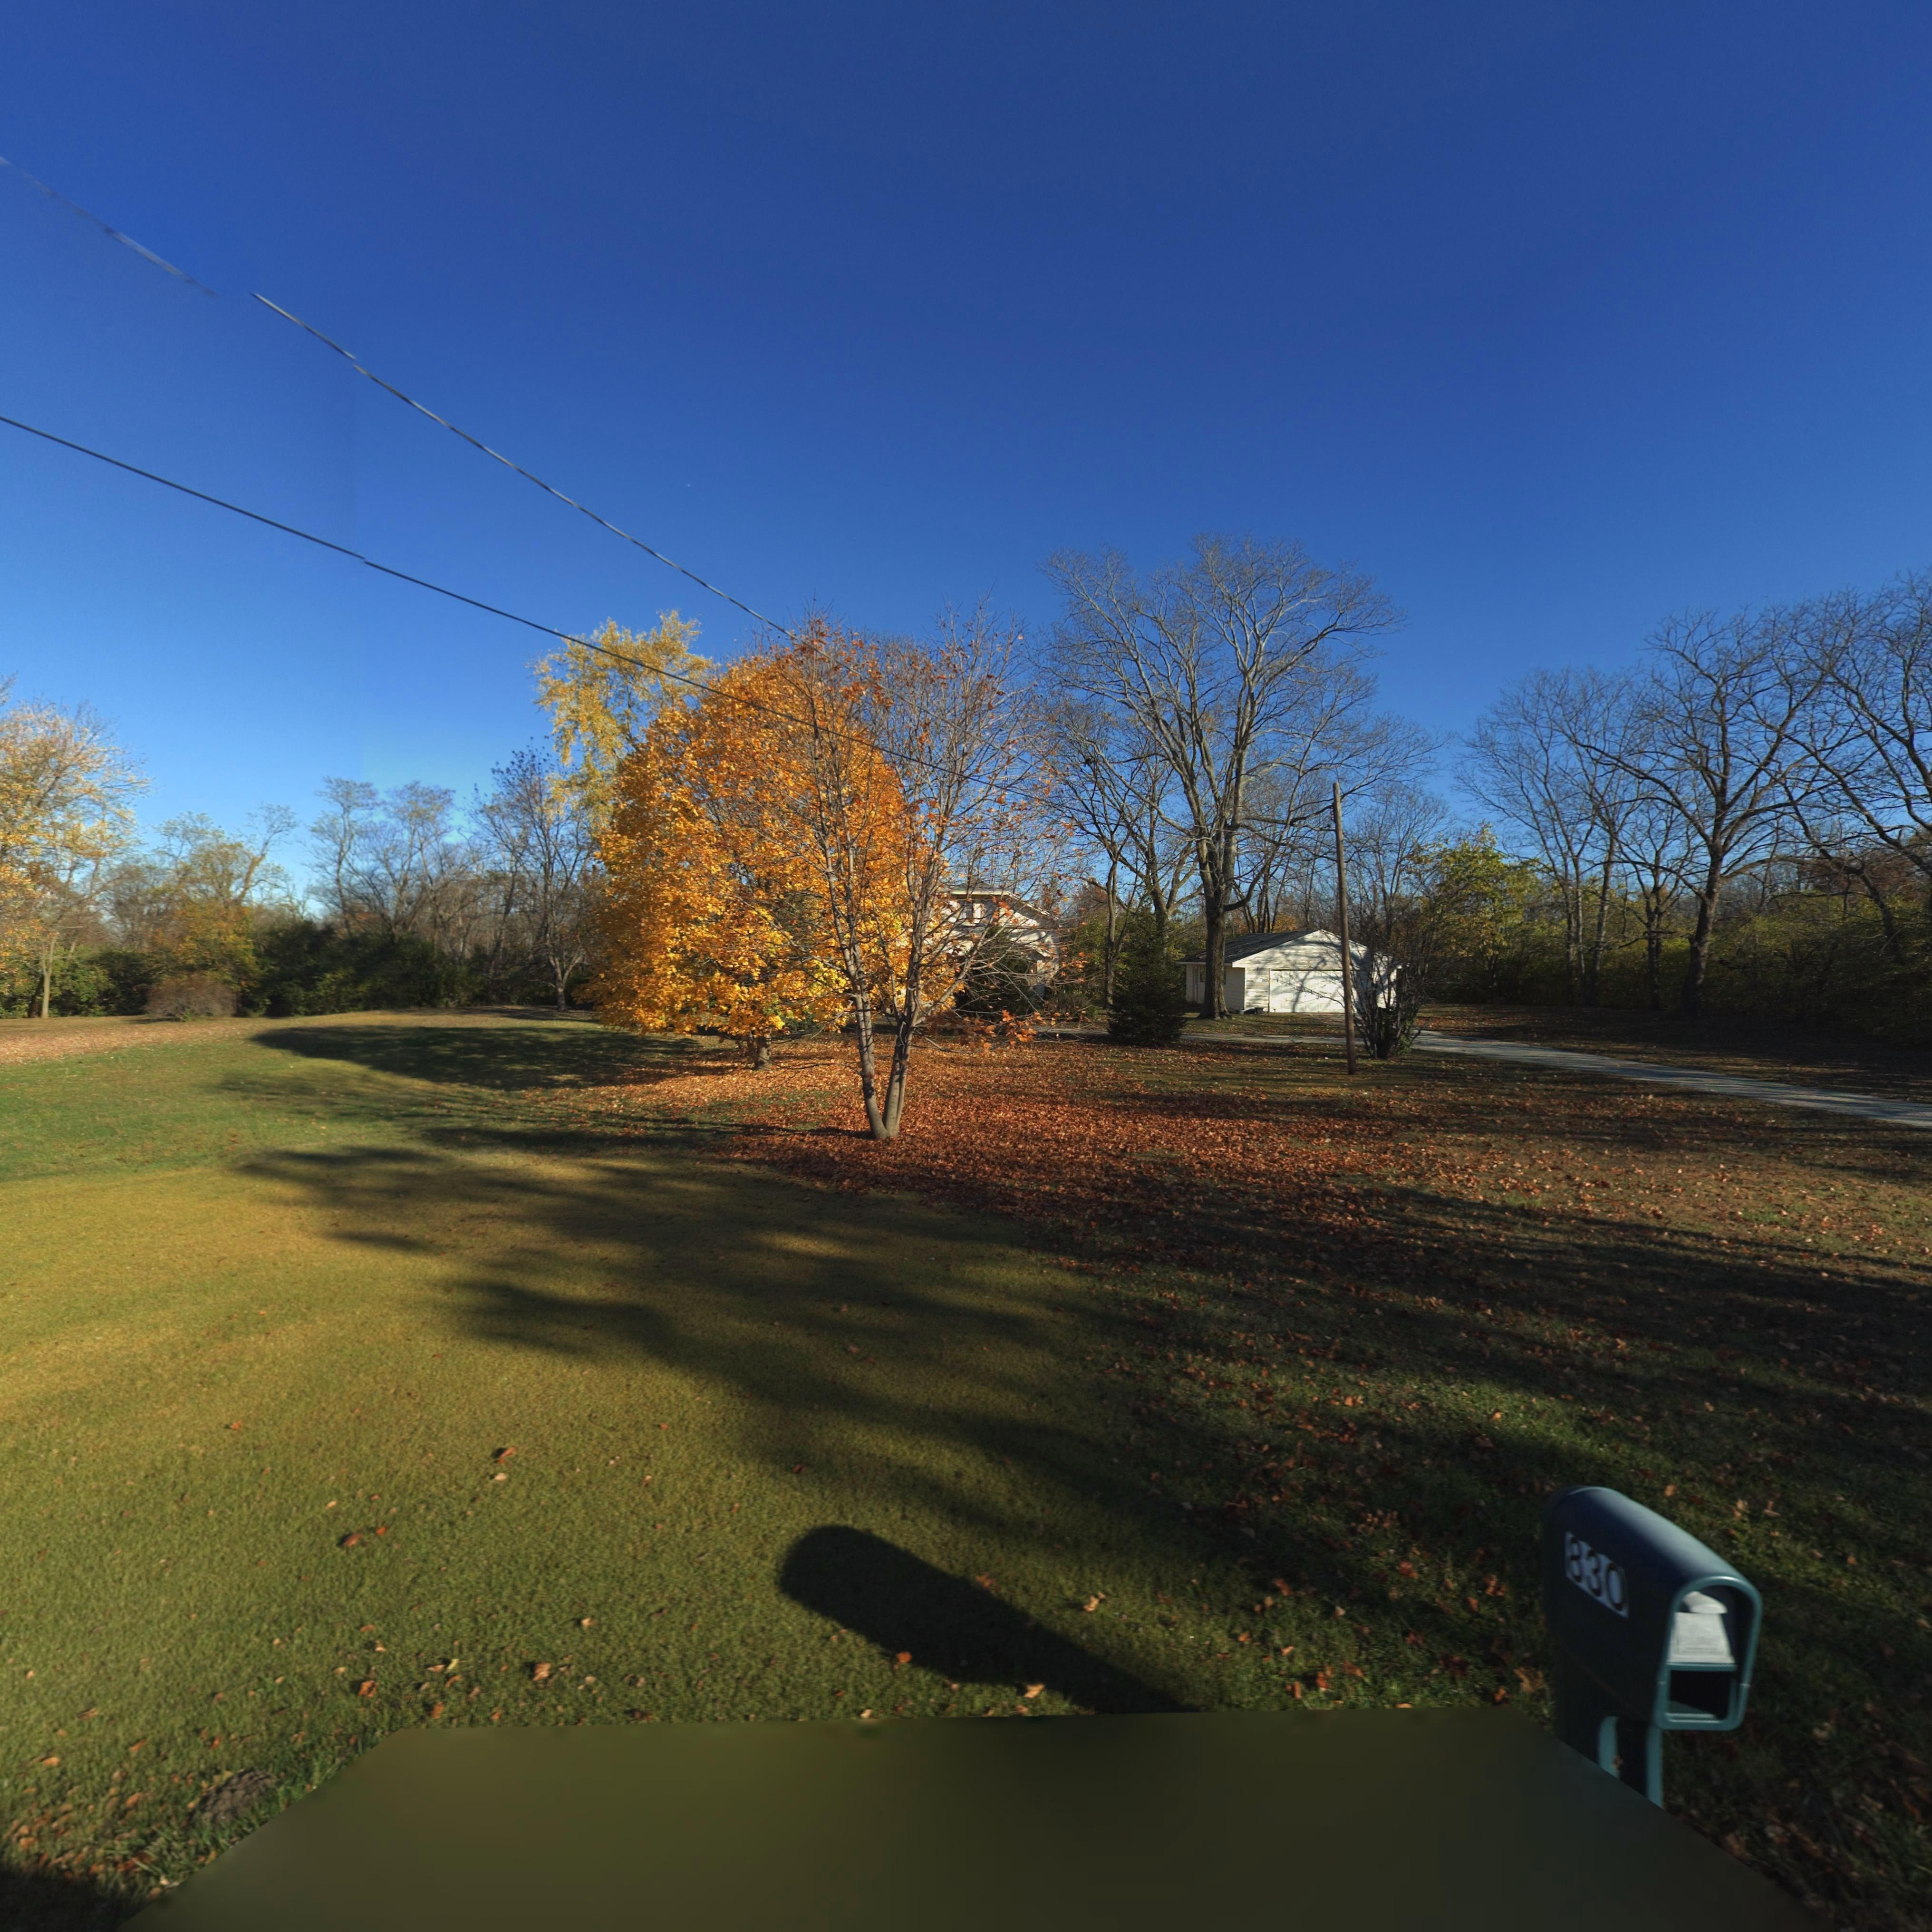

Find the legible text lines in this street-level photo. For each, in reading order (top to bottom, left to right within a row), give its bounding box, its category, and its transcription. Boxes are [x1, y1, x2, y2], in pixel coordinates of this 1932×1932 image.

[1565, 1533, 1627, 1618] StreetNumber: 830